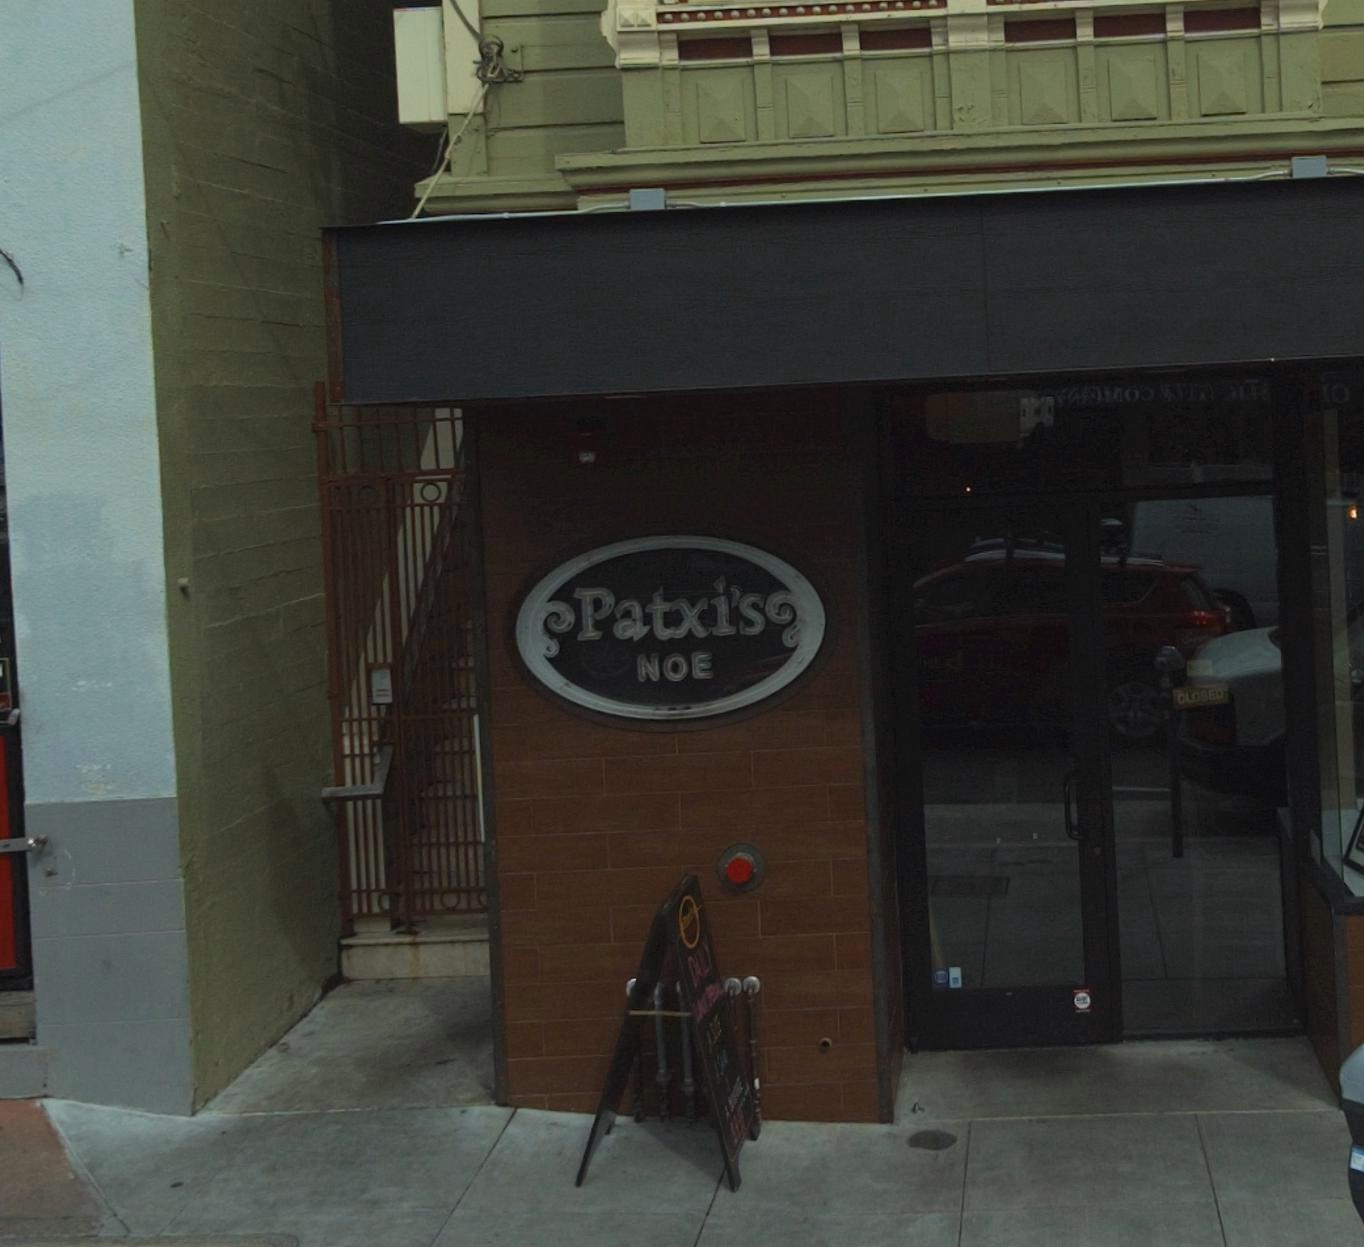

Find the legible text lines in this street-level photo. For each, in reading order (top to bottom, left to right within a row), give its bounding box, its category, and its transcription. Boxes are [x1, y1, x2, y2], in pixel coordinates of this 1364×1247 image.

[572, 573, 766, 643] BusinessName: Patxi's
[635, 650, 714, 683] BusinessName: NOE
[1175, 686, 1225, 706] None: CLOSED
[683, 924, 716, 992] None: D***Y